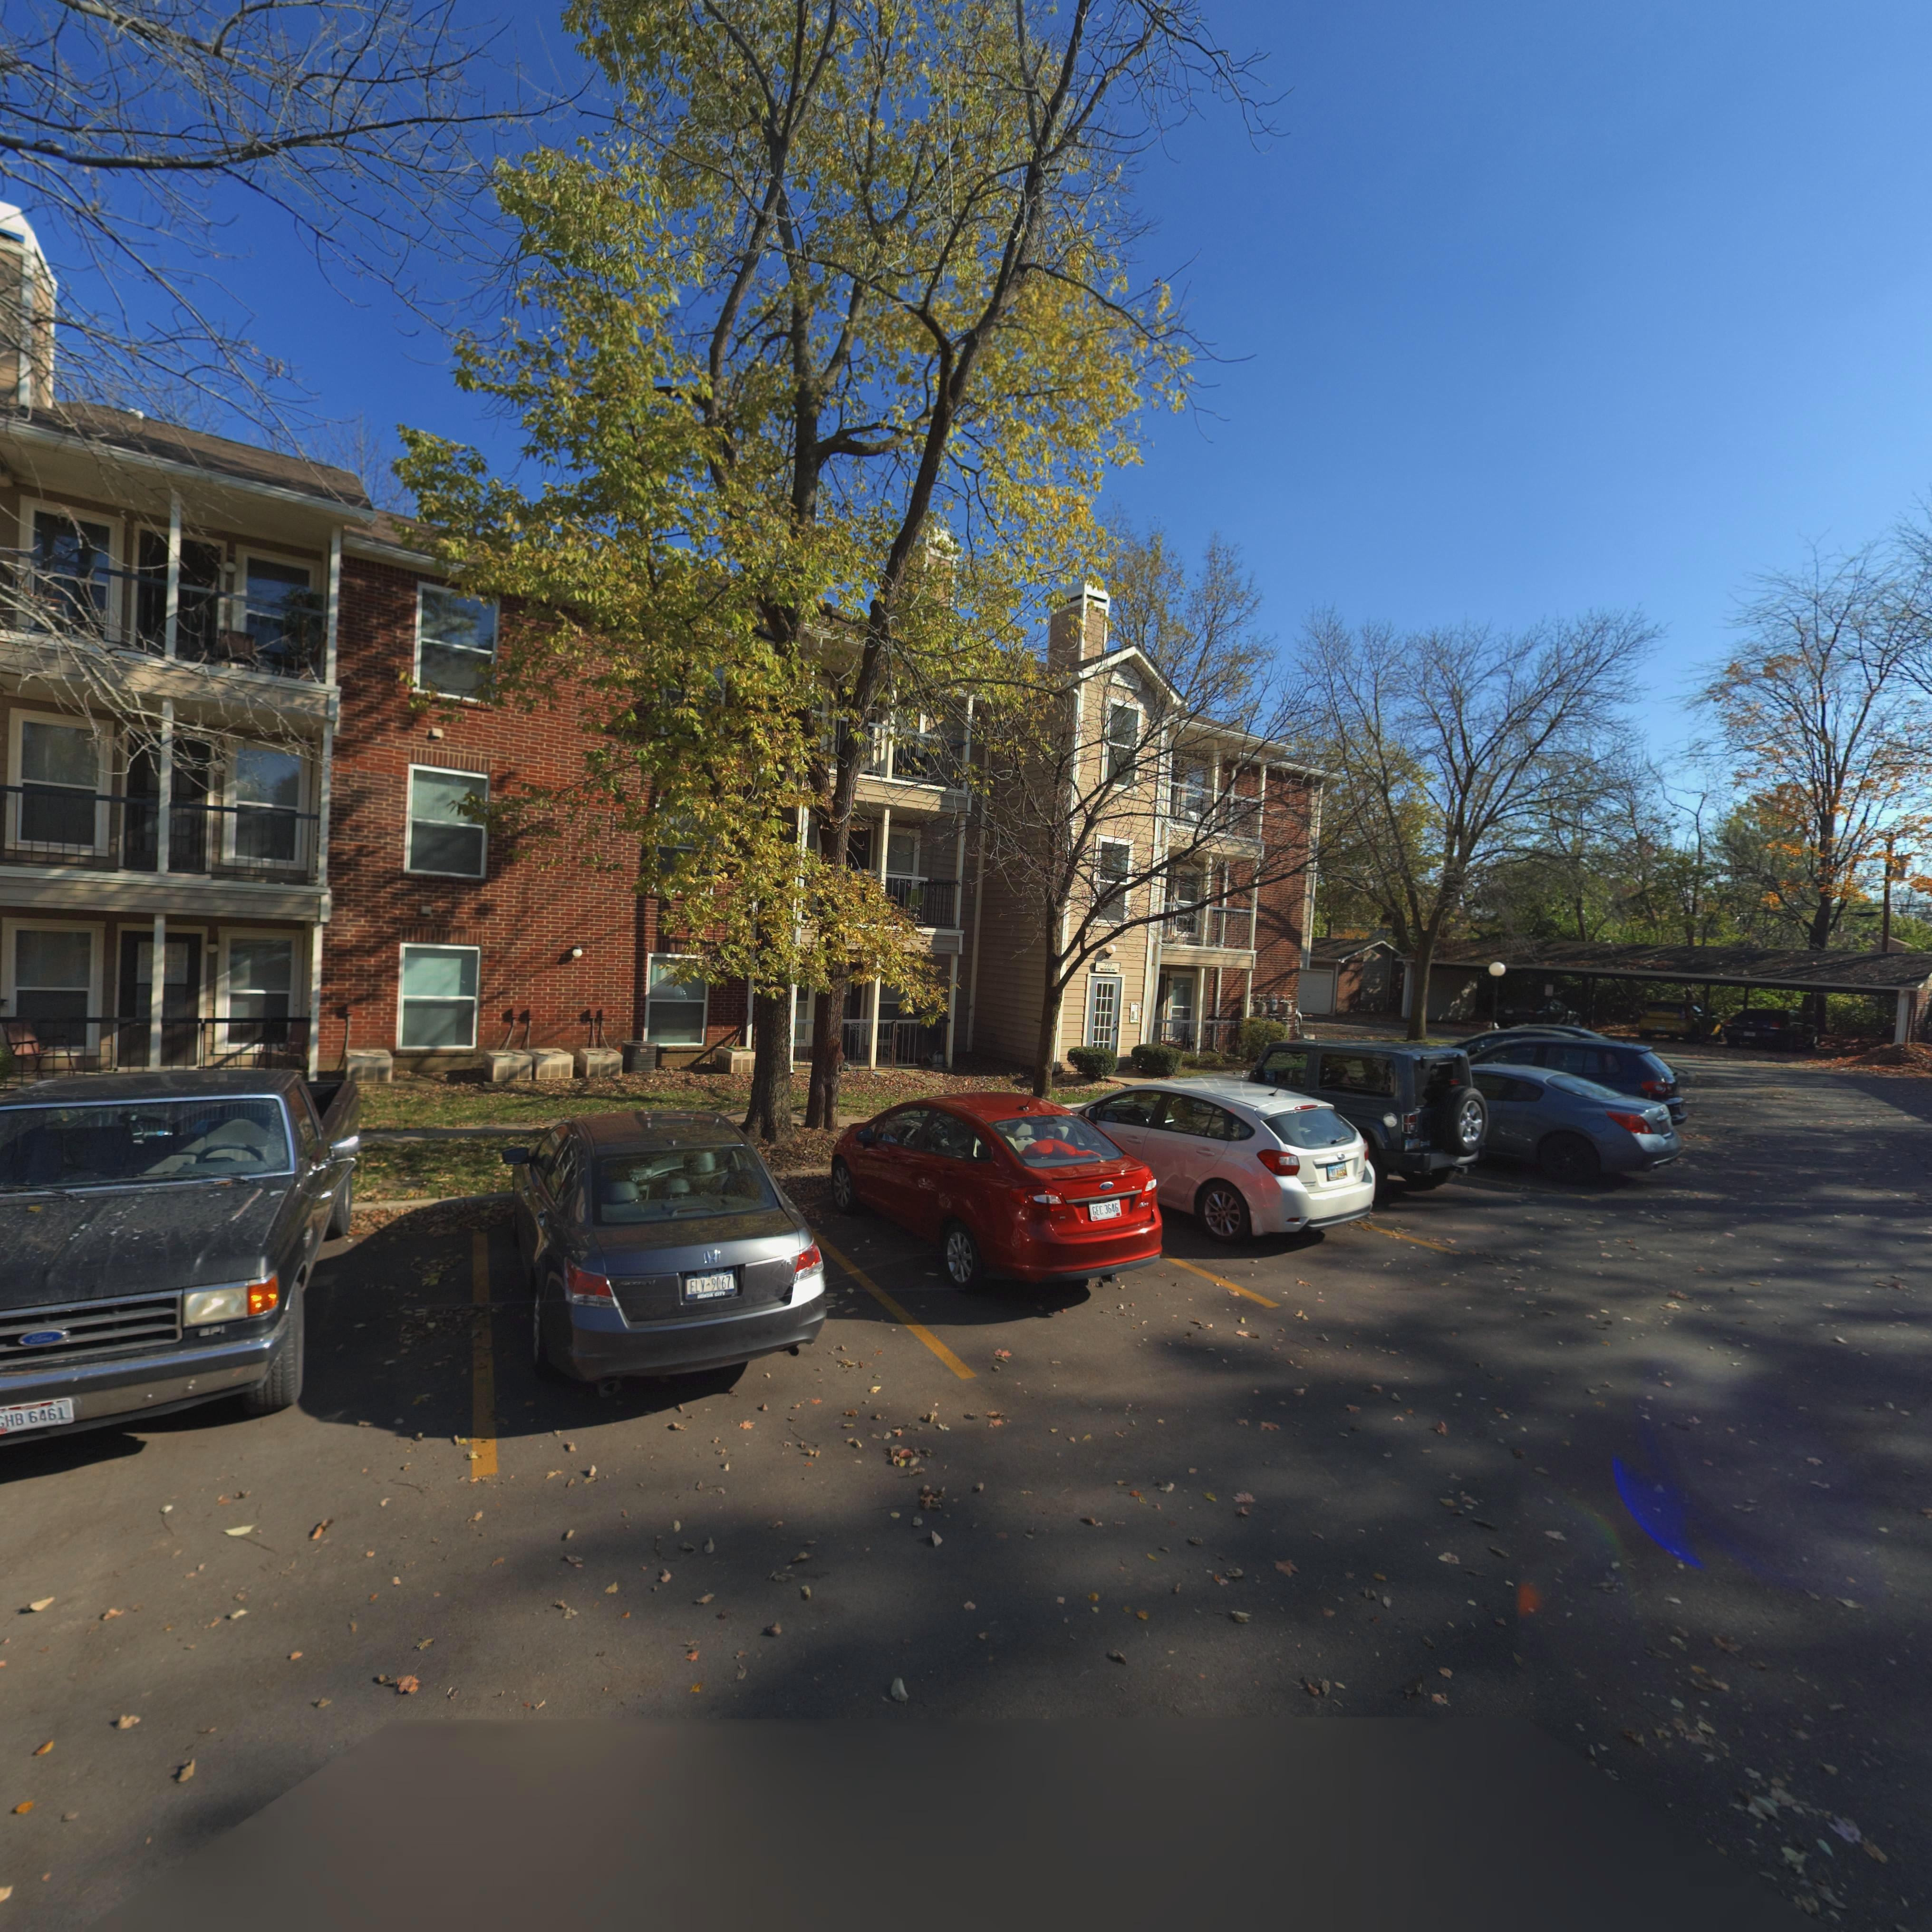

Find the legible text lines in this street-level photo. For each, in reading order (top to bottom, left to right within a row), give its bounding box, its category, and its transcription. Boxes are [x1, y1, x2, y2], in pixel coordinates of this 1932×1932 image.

[1091, 1202, 1120, 1217] None: GEC 3646
[689, 1275, 732, 1295] None: ELV-9067
[4, 1405, 67, 1429] None: HB 6461